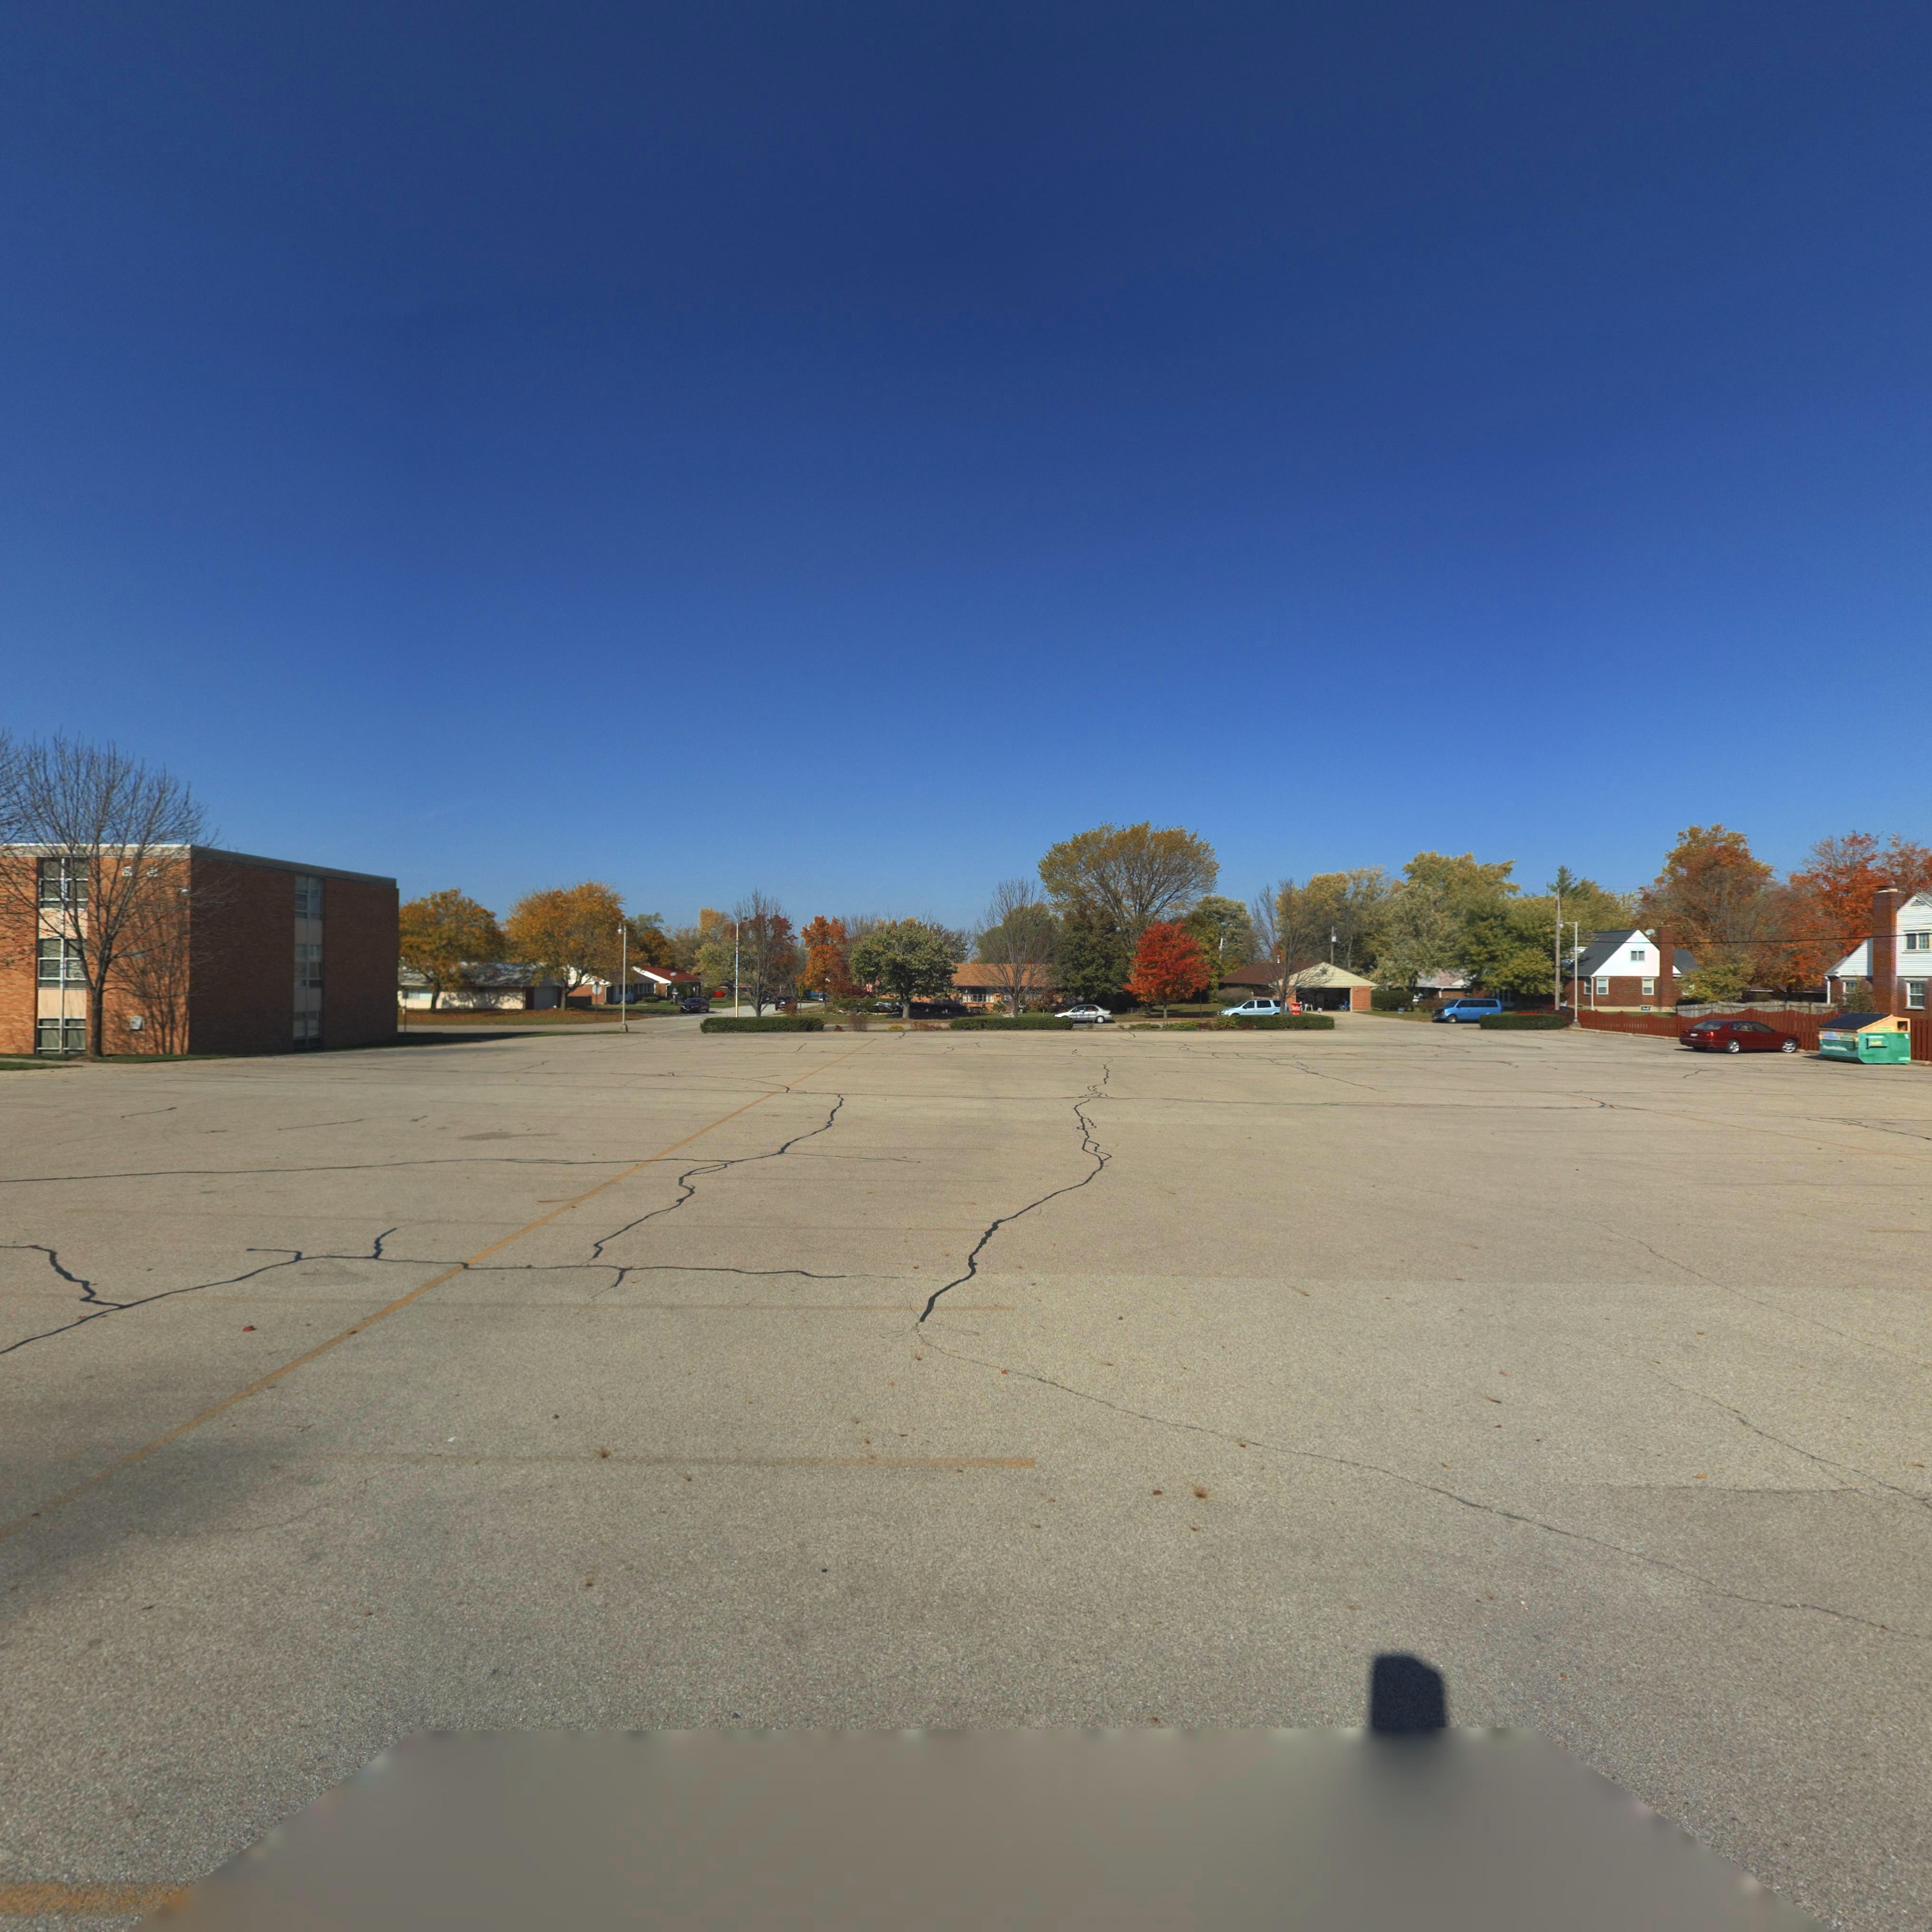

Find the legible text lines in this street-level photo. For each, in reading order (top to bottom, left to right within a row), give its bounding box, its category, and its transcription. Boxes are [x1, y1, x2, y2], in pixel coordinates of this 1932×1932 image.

[1291, 1005, 1294, 1010] None: S